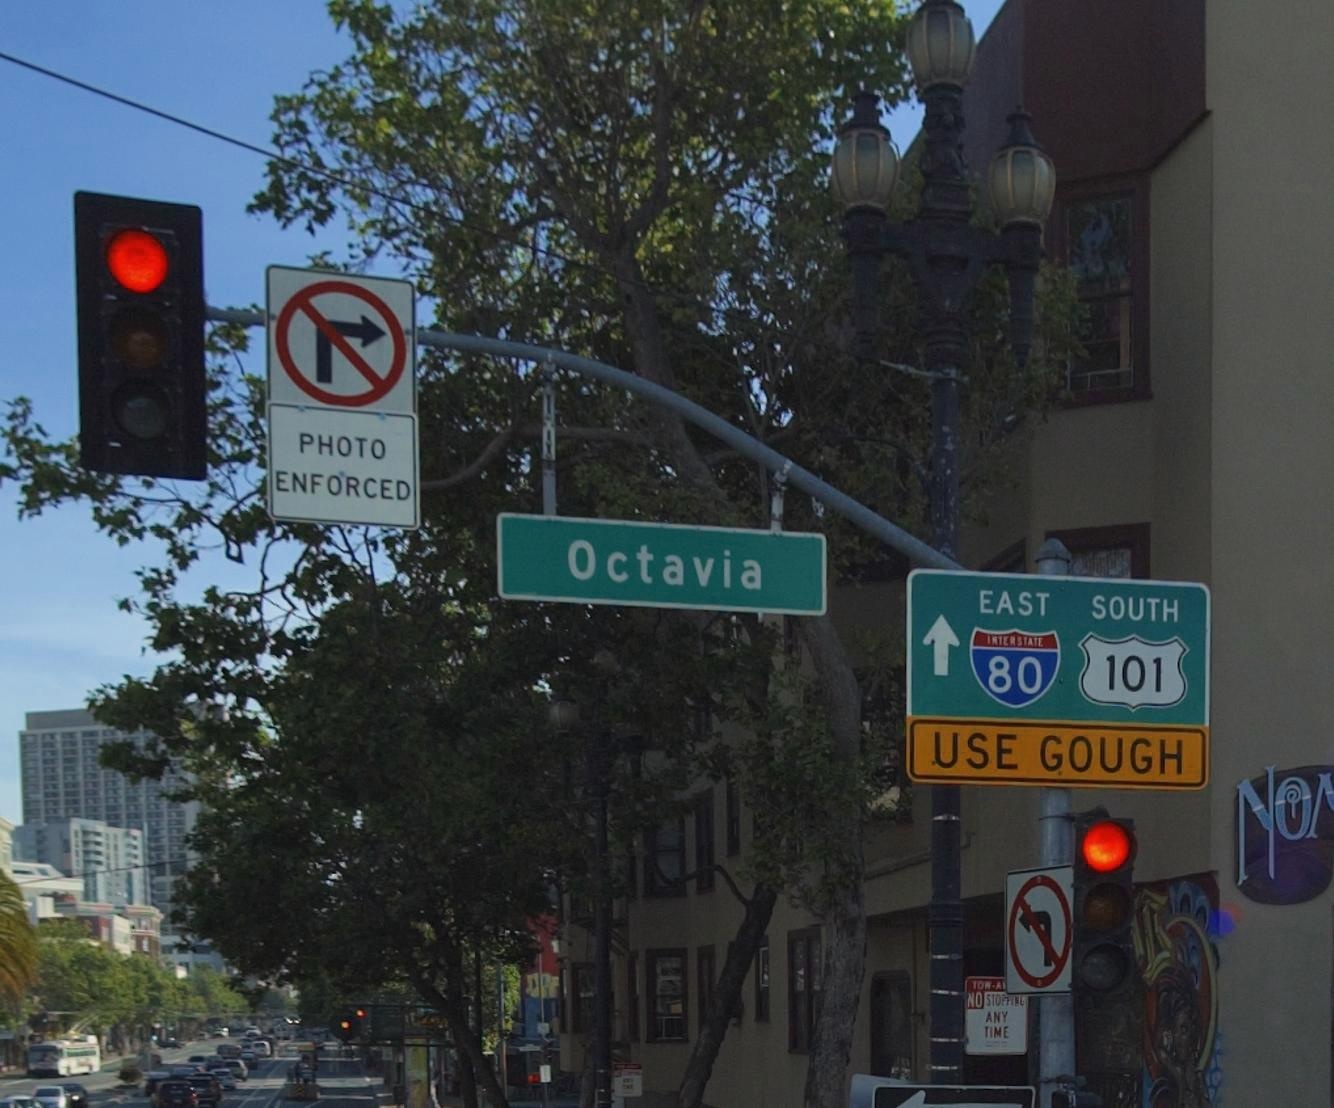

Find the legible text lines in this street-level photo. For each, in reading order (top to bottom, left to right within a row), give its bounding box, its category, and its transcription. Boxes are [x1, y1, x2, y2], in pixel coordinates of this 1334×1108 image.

[289, 421, 389, 467] None: PHOTO
[271, 462, 416, 506] None: ENFORCED
[567, 535, 764, 595] StreetName: Octavia
[971, 583, 1052, 623] None: EAST
[1089, 592, 1182, 623] None: SOUTH
[985, 633, 1045, 648] None: INTERSTATE
[986, 651, 1044, 695] None: 80
[1104, 650, 1170, 693] None: 101
[932, 726, 1186, 776] None: USE GOUGH
[1231, 753, 1334, 903] BusinessName: No*
[972, 979, 1004, 991] None: TOW-A
[967, 992, 1027, 1007] None: NO STOPPING
[983, 1024, 1011, 1038] None: TIME
[984, 1010, 1011, 1022] None: ANY